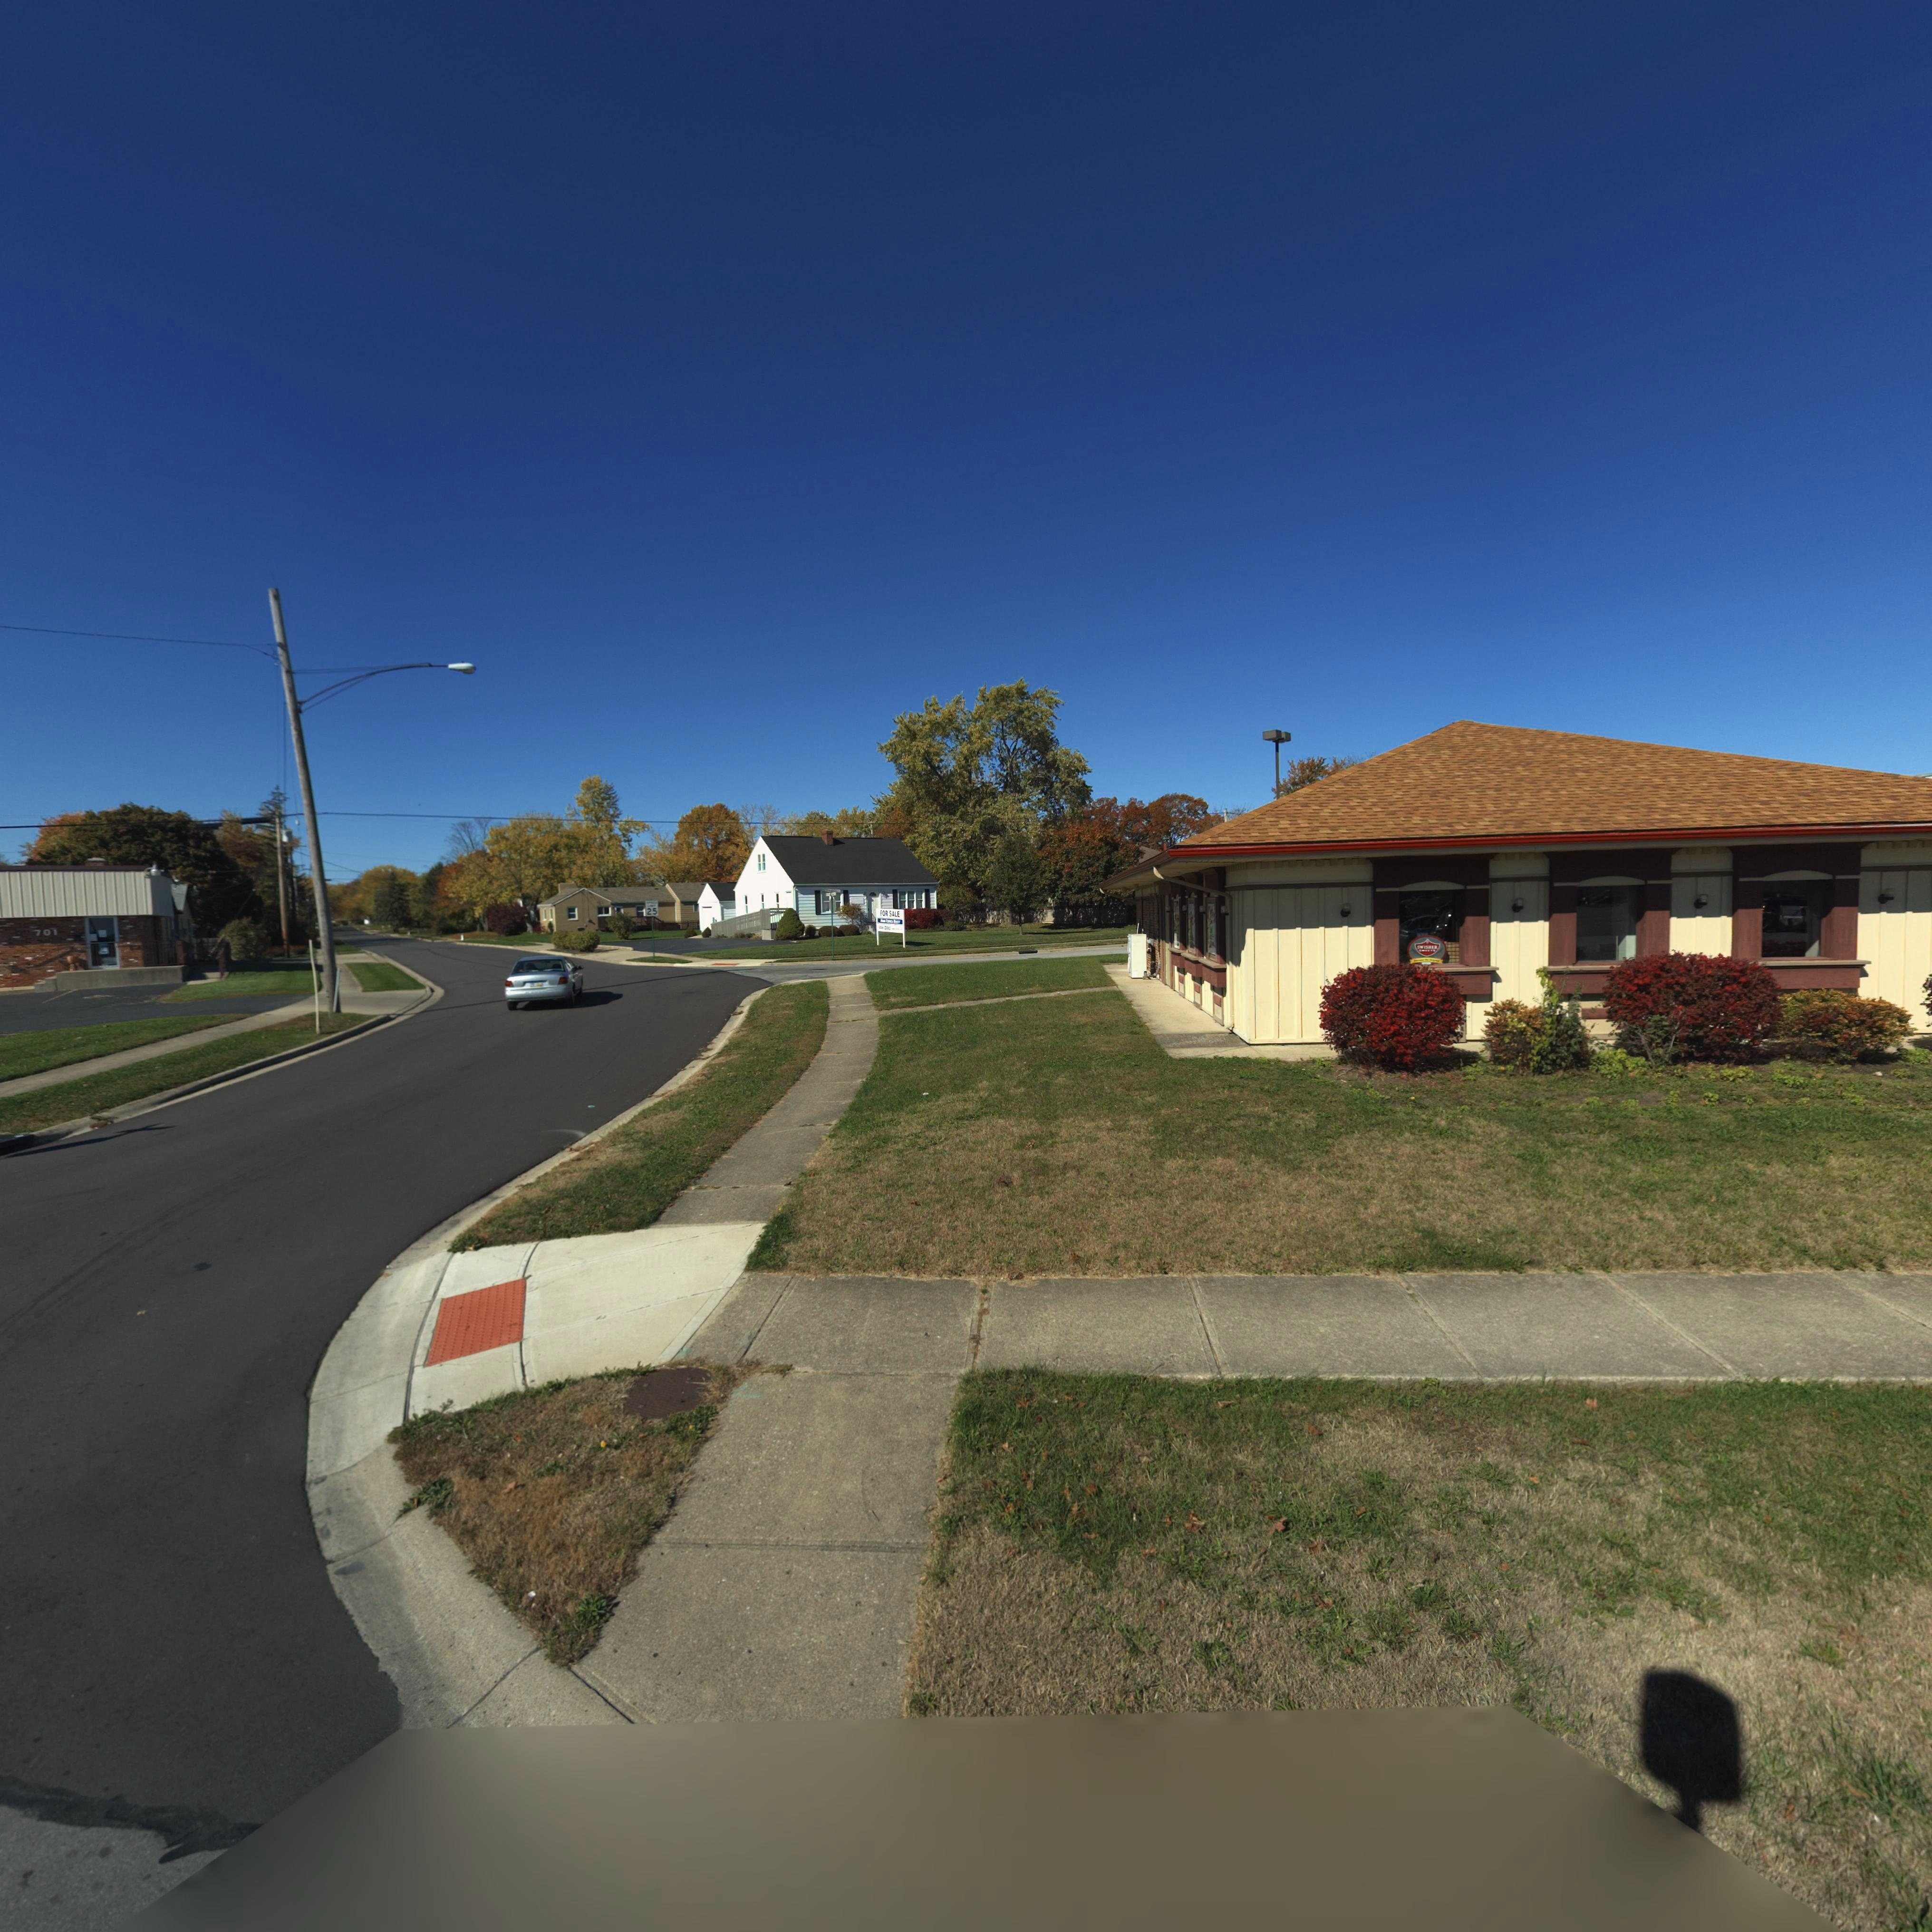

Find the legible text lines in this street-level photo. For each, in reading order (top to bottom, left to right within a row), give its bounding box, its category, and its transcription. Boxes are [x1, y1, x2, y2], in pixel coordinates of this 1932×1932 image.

[32, 928, 58, 937] StreetNumber: 701